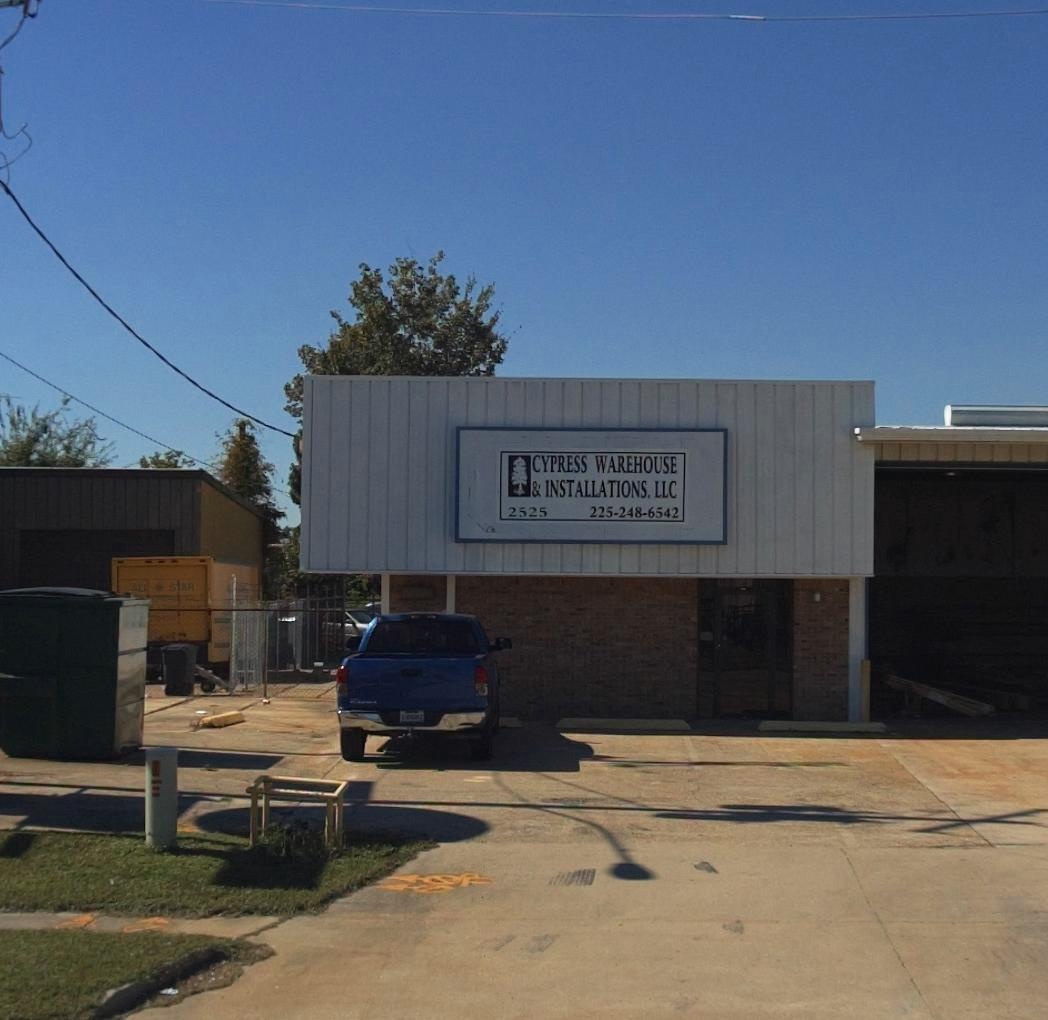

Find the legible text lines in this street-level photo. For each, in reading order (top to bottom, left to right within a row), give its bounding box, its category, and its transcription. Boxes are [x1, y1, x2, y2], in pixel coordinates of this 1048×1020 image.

[532, 454, 677, 474] BusinessName: CYPRESS WAREHOUSE
[530, 479, 678, 498] BusinessName: & INSTALLATIONS, LLC
[507, 506, 548, 518] StreetNumber: 2525
[589, 505, 679, 518] None: 225-248-6542